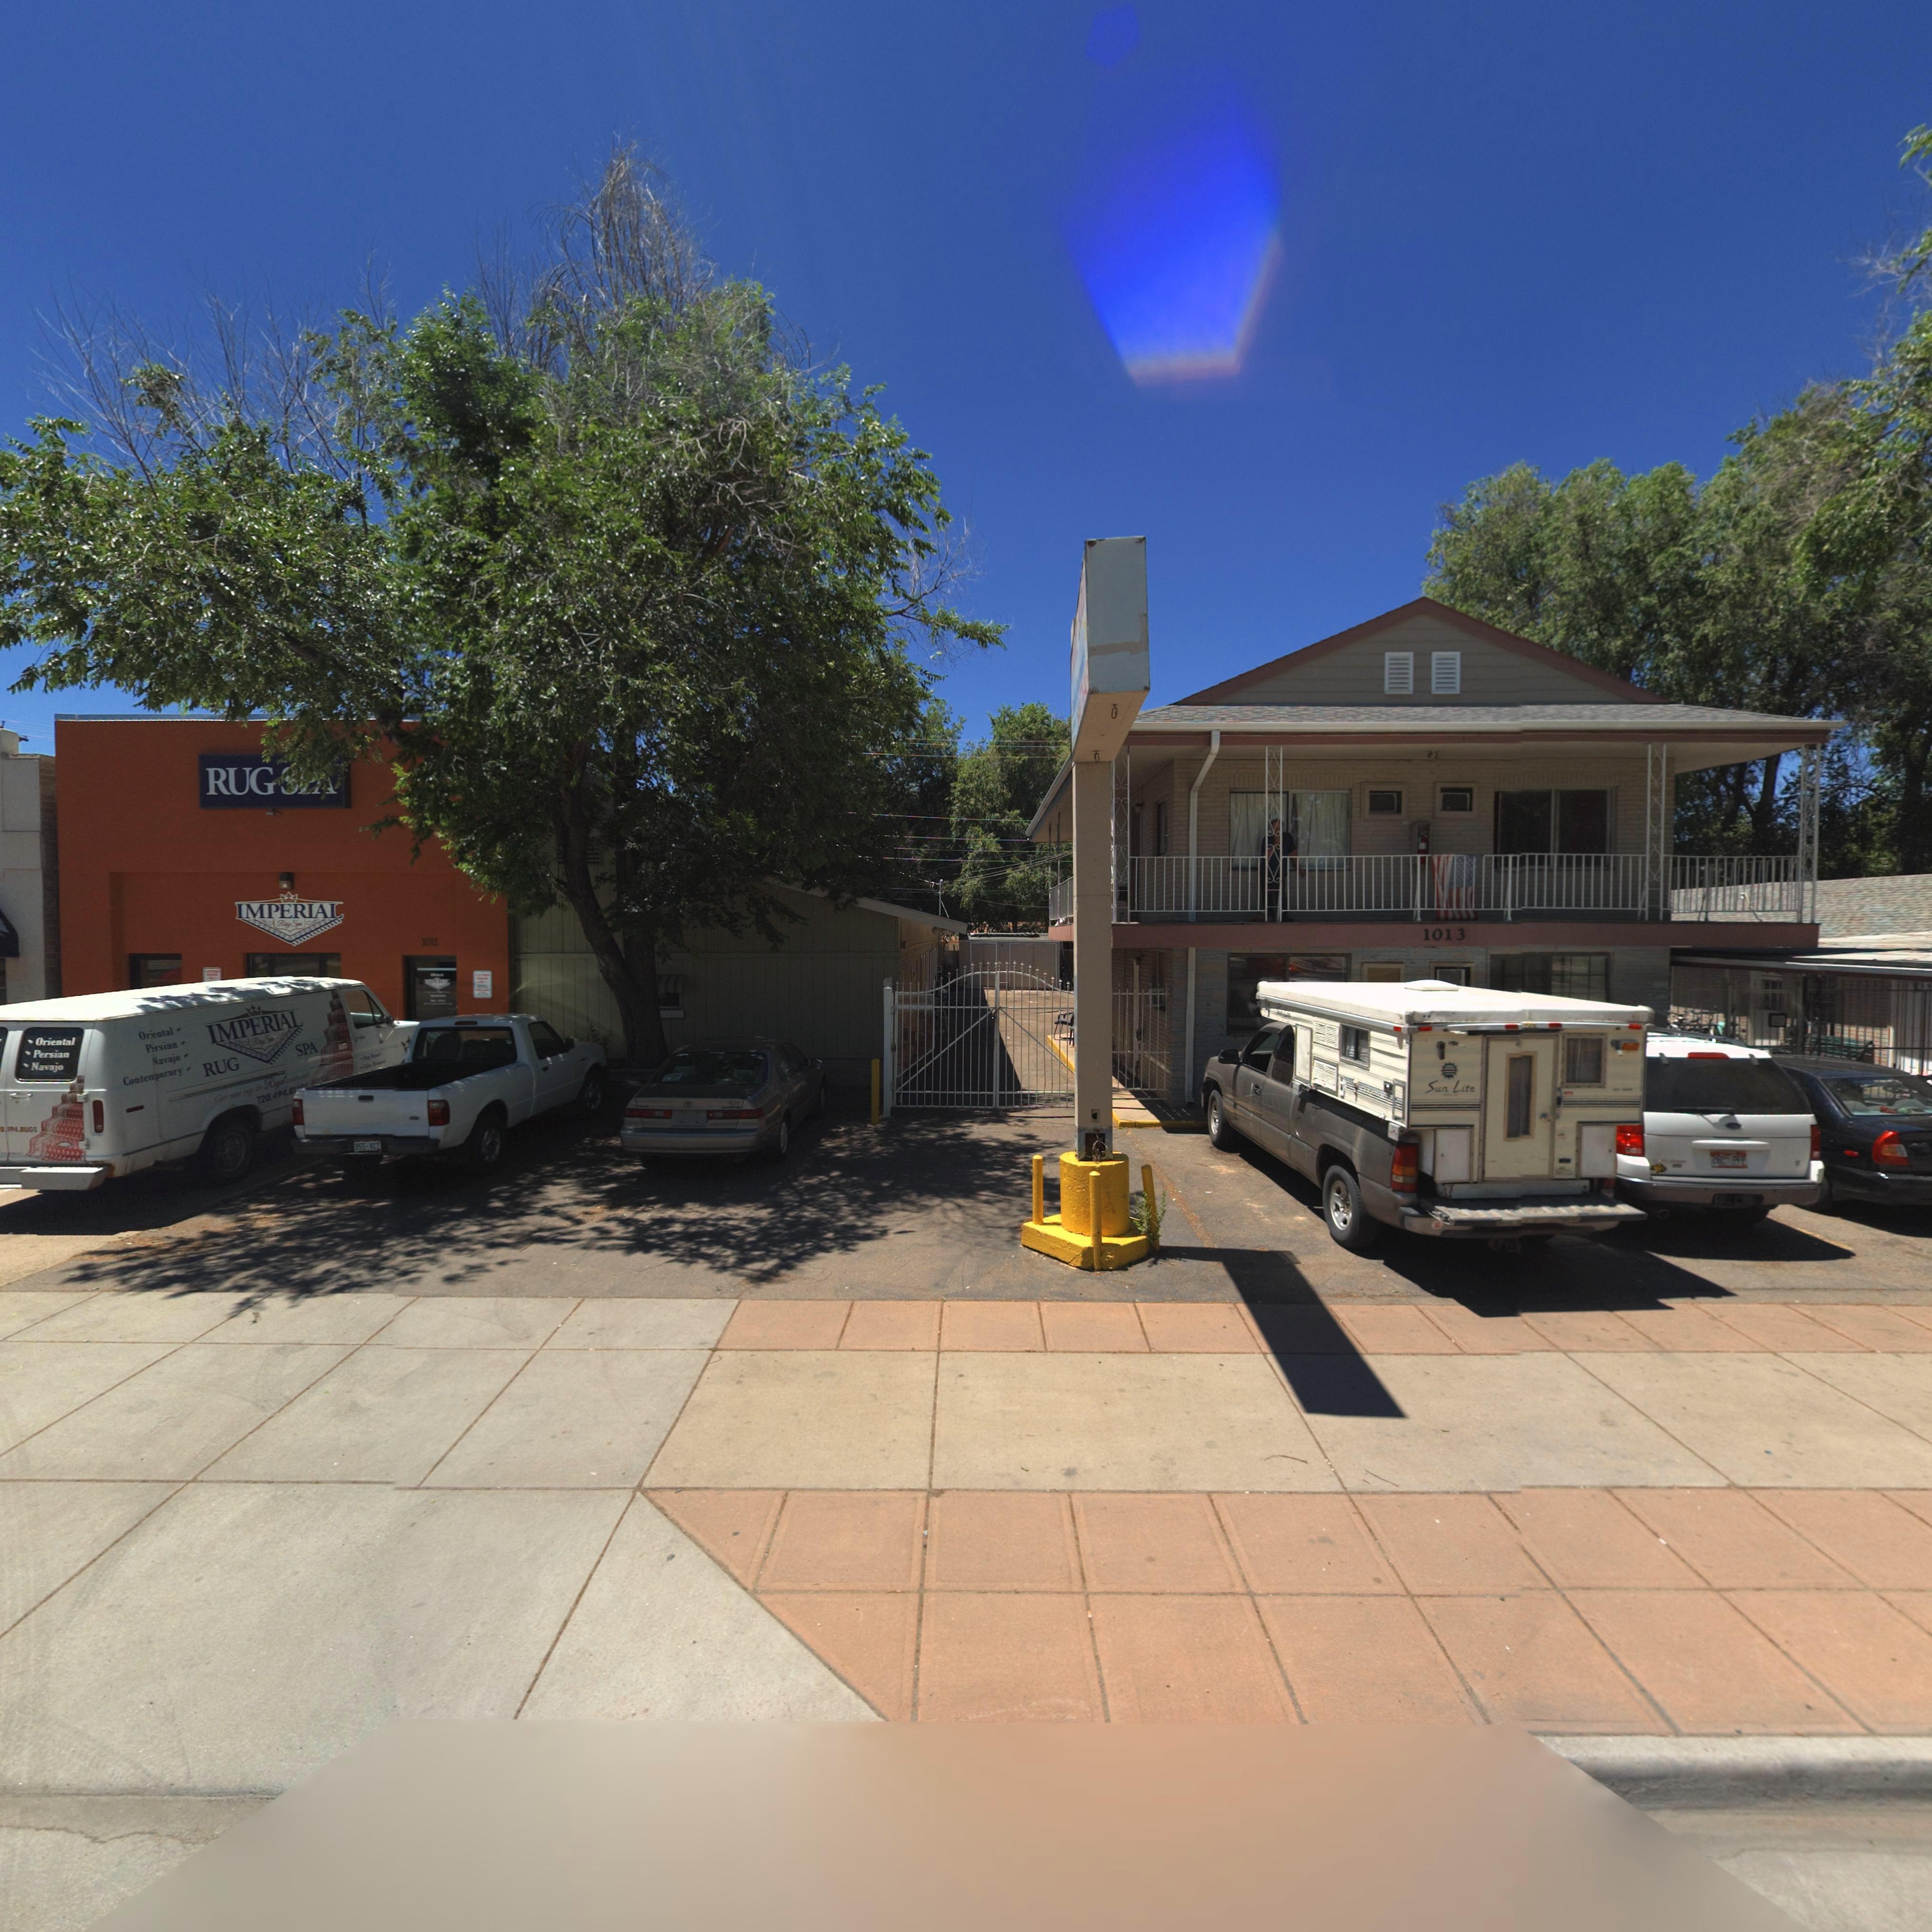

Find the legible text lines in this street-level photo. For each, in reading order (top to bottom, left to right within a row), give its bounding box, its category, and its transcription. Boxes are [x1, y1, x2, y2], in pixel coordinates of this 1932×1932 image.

[235, 903, 343, 918] BusinessName: IMPERIAL
[1422, 927, 1466, 941] StreetNumber: 1013
[421, 938, 439, 946] StreetNumber: 1071